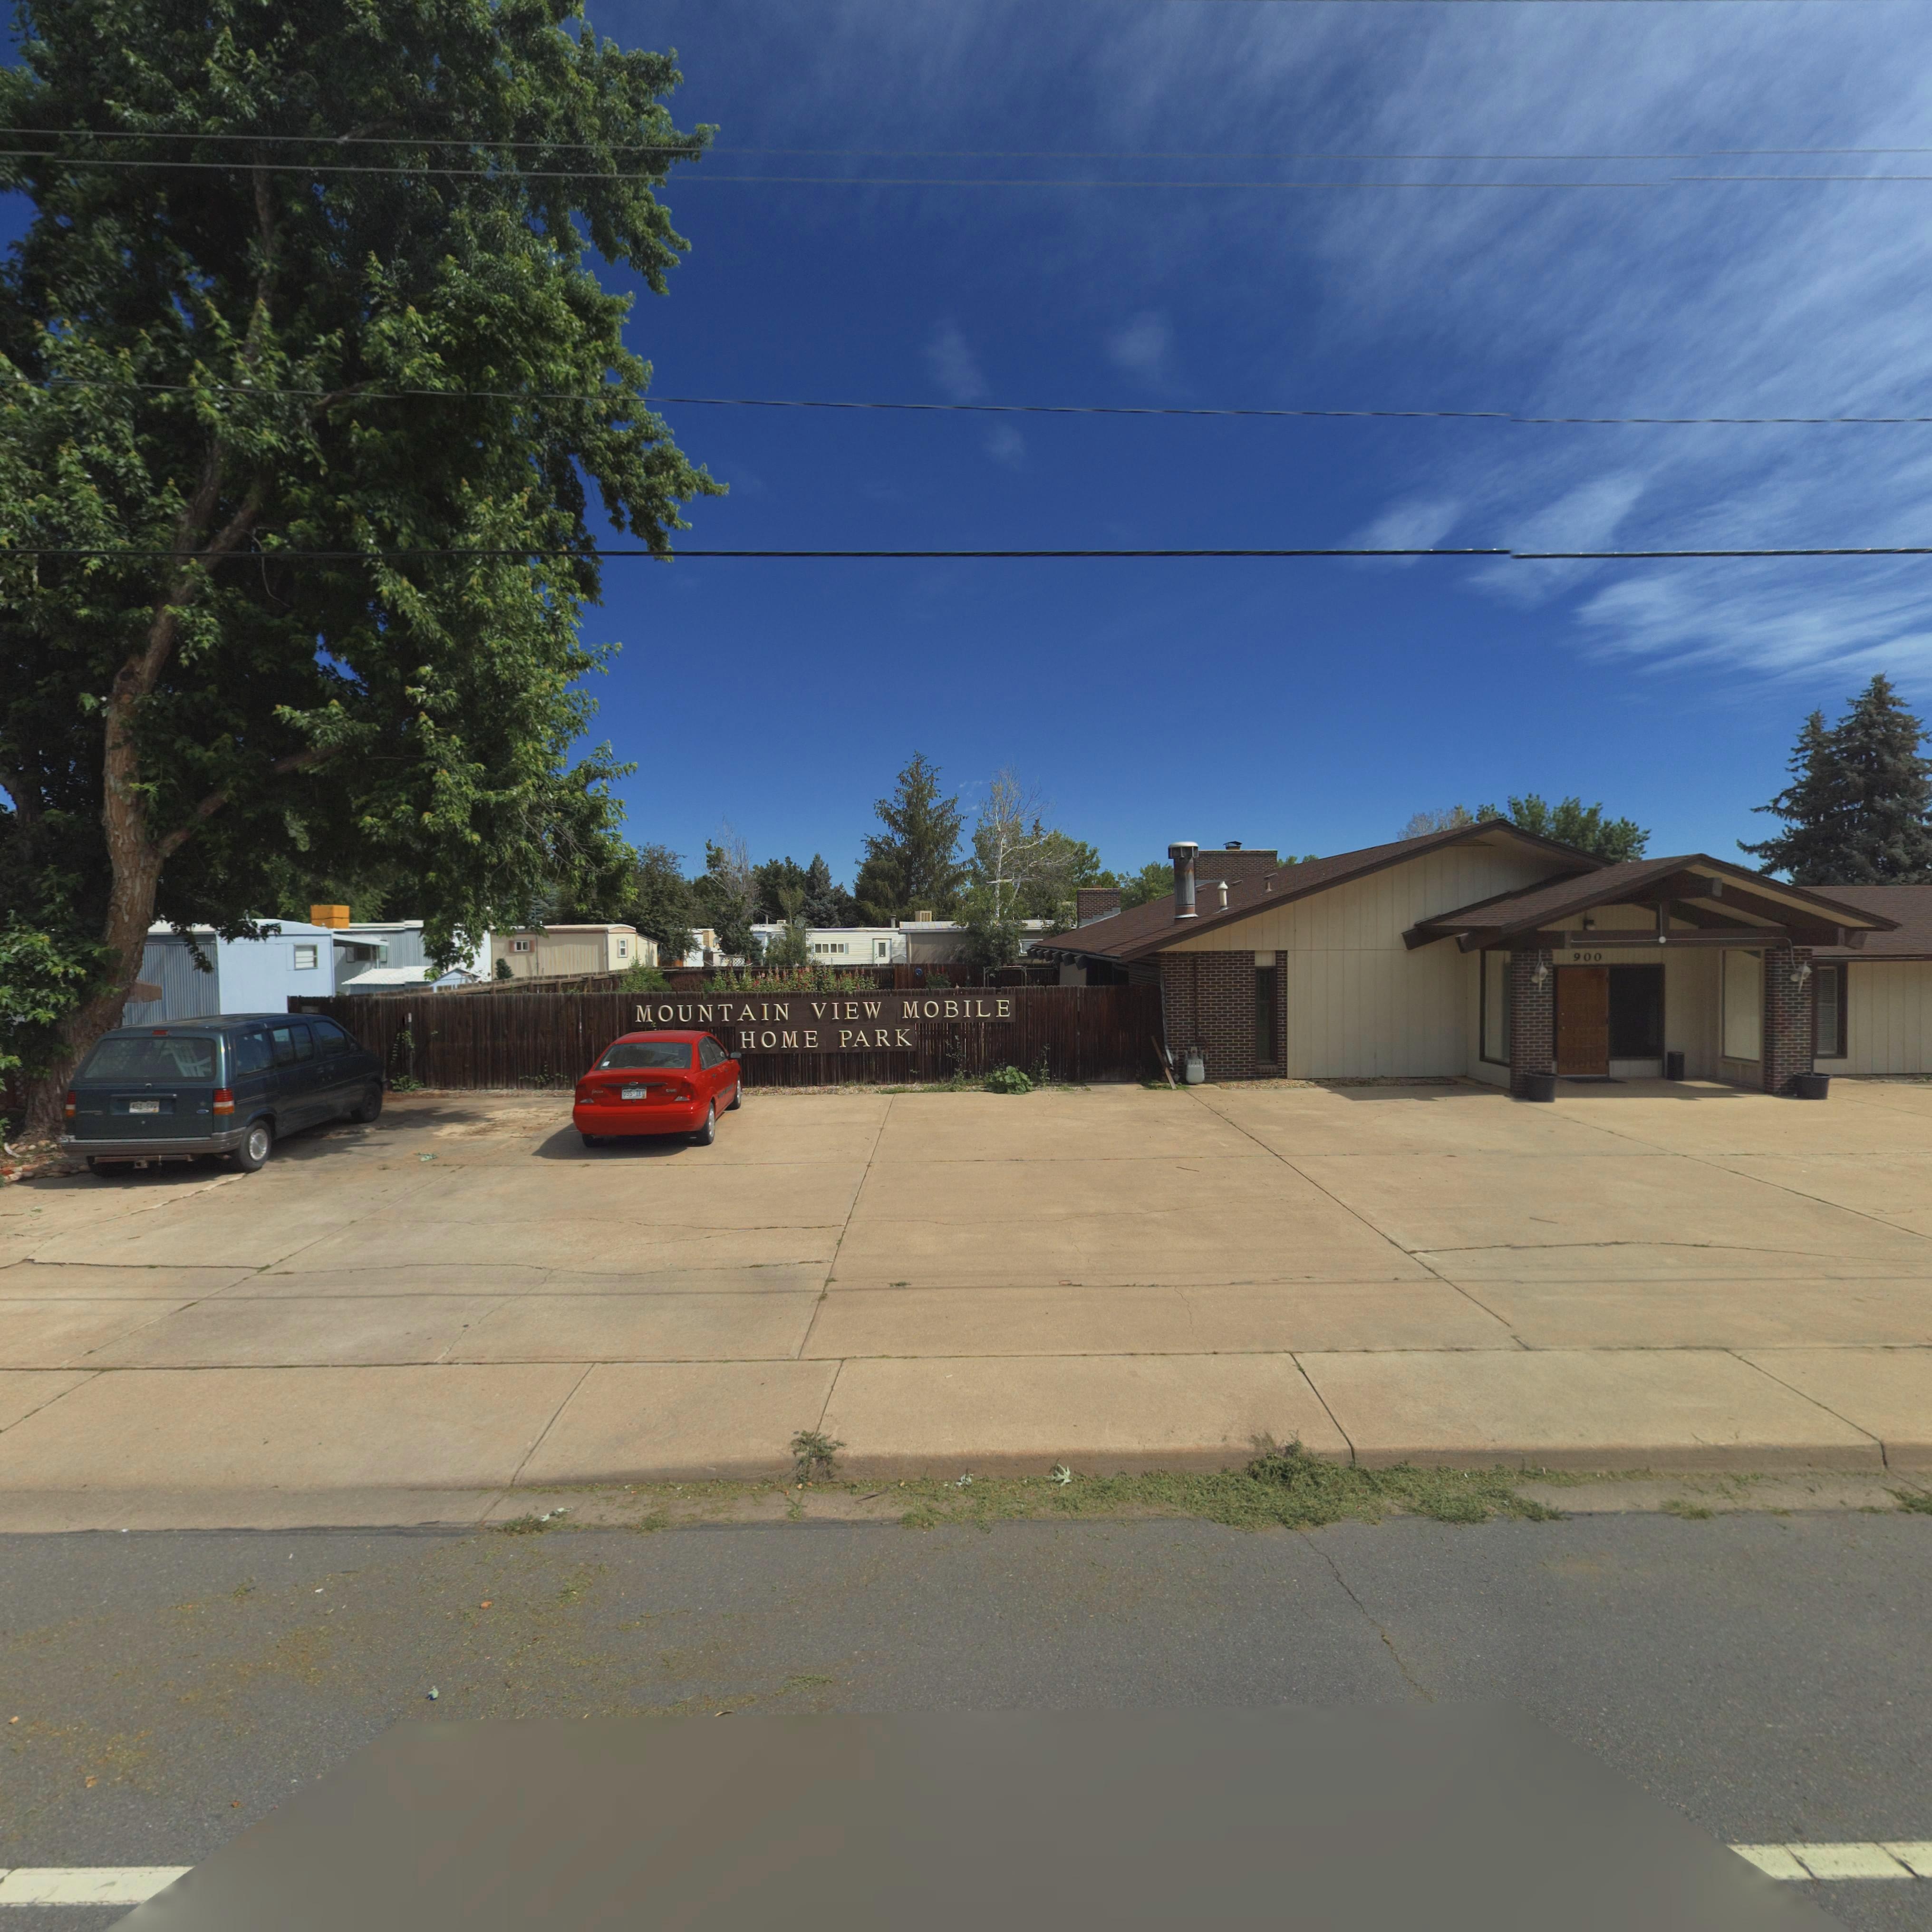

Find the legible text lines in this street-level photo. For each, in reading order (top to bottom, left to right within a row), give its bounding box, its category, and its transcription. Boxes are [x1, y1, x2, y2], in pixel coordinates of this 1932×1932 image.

[1572, 952, 1602, 962] StreetNumber: 900
[634, 998, 1012, 1024] BusinessName: MOUNTAIN VIEW MOBILE
[737, 1028, 914, 1051] BusinessName: HOME PARK